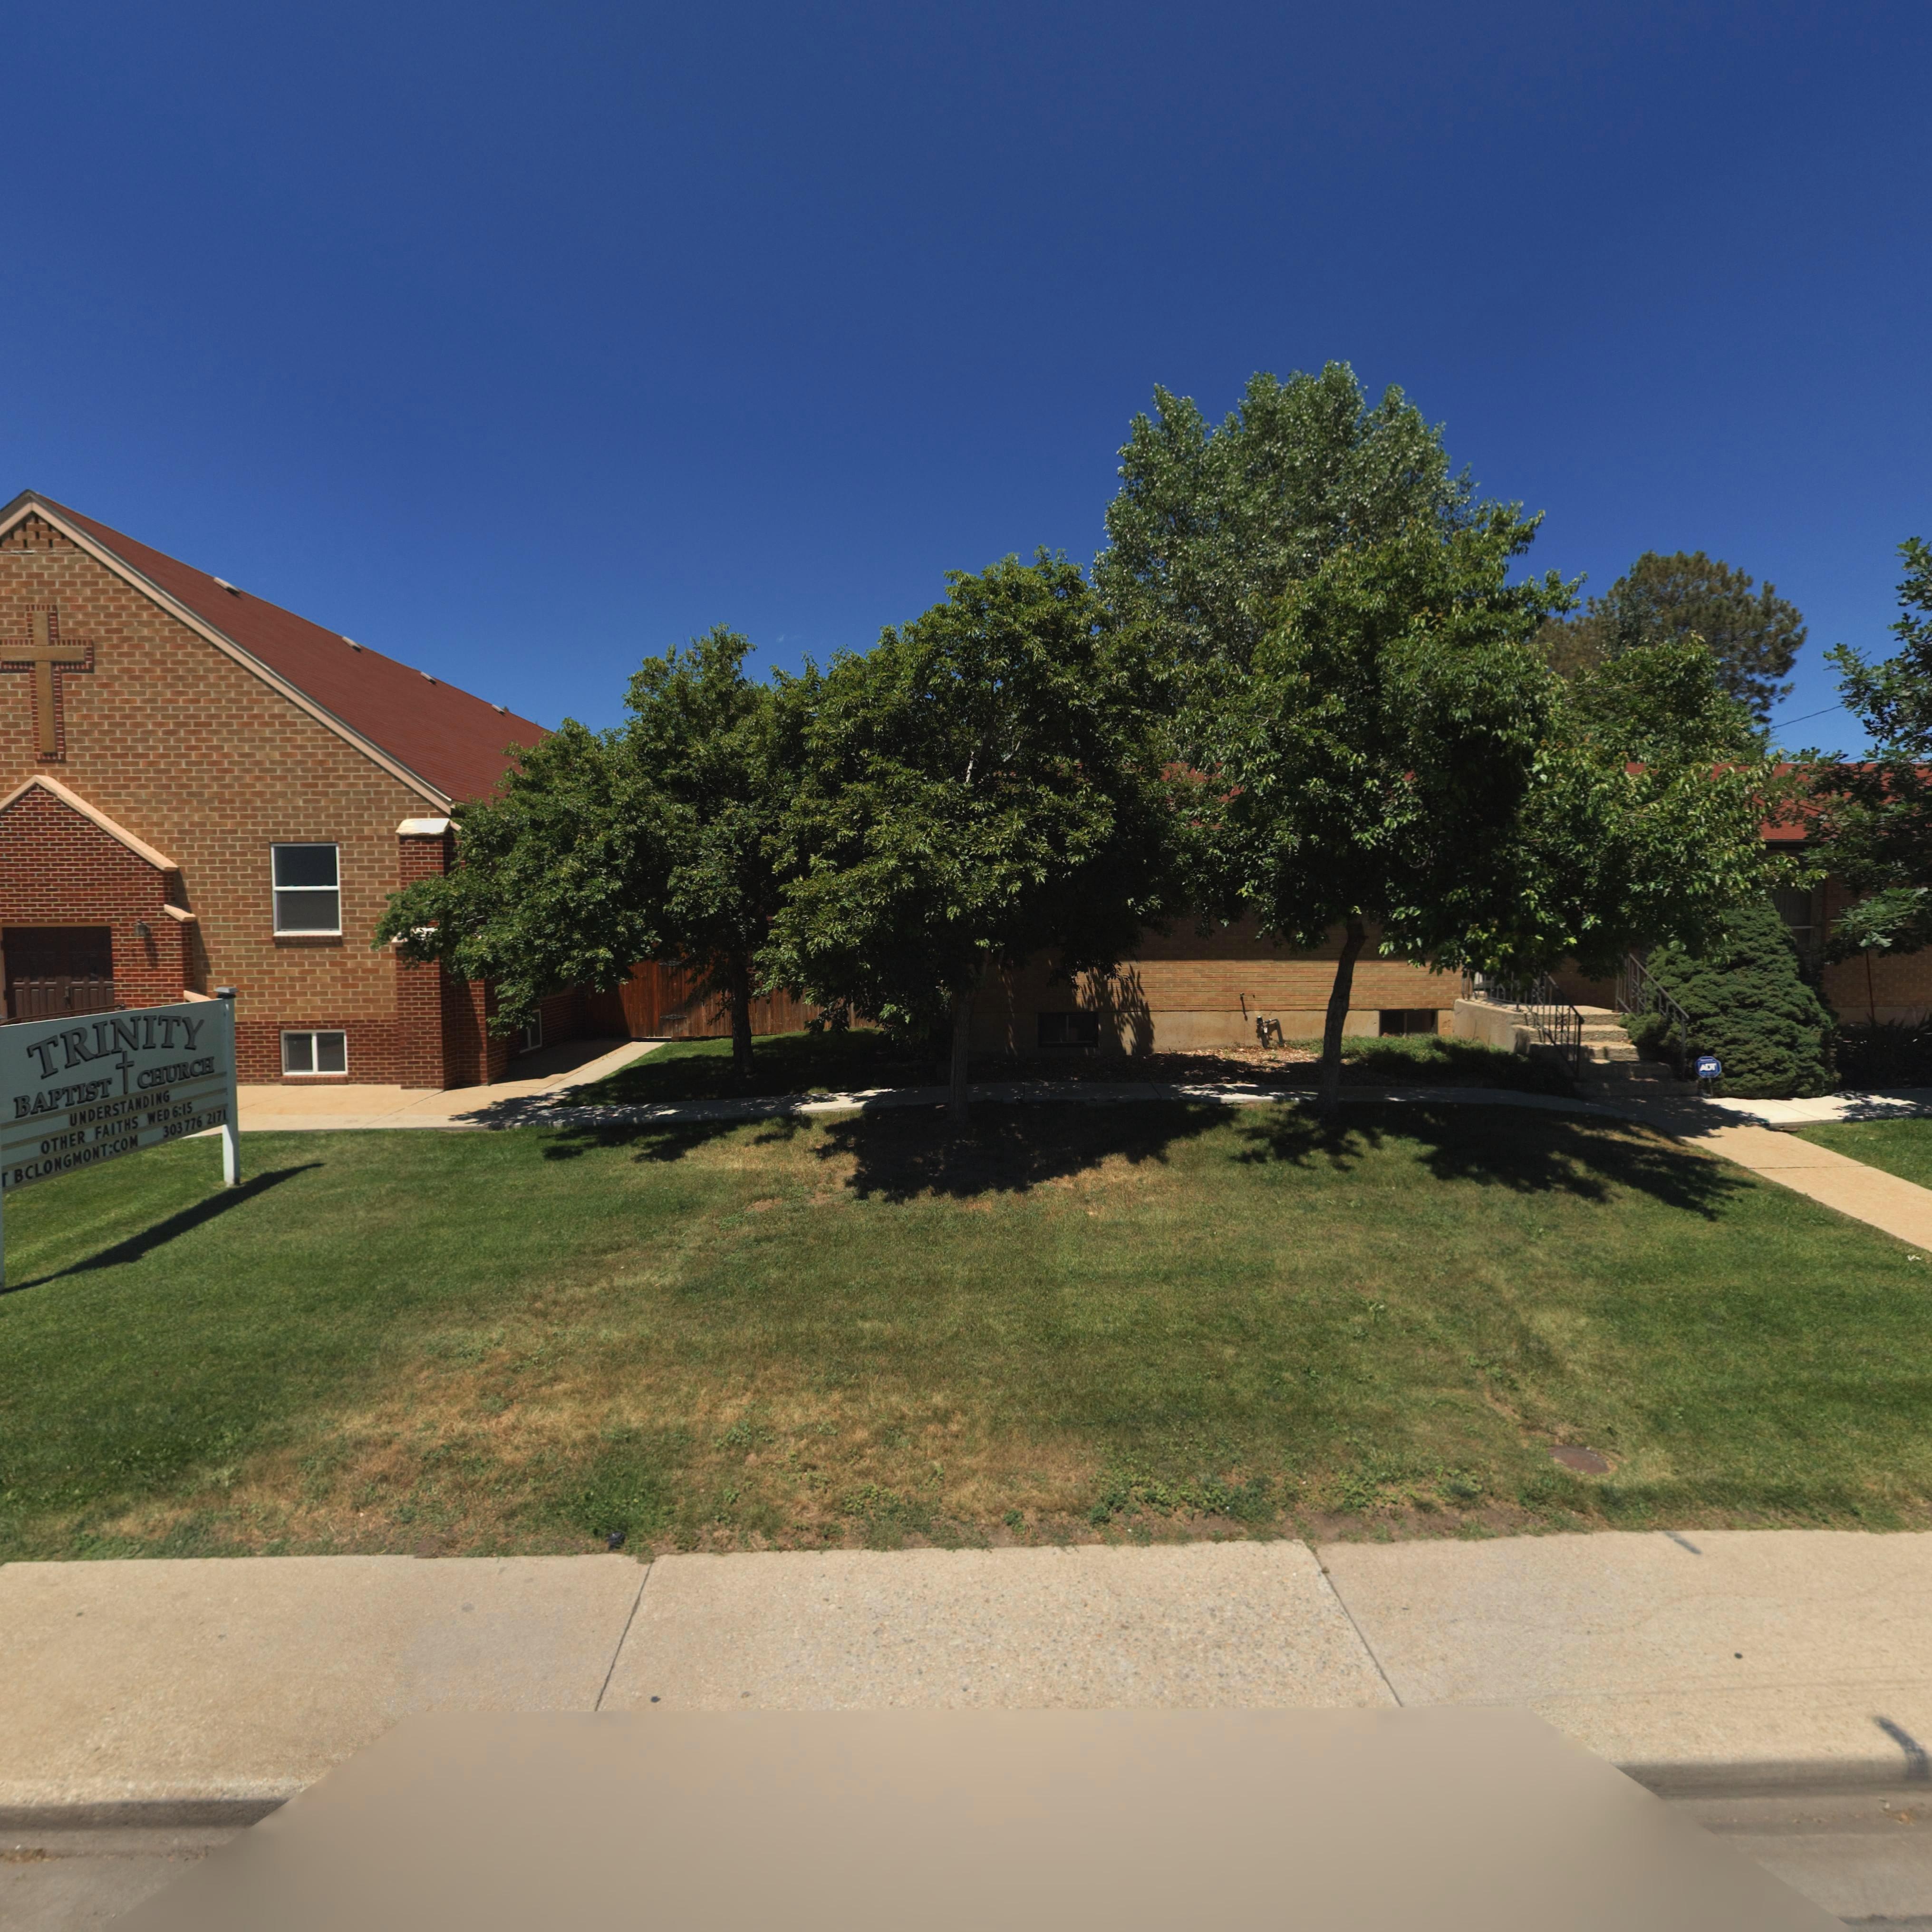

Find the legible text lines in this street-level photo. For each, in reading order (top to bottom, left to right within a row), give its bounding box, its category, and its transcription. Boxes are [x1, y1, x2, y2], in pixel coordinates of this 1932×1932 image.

[27, 1014, 205, 1078] BusinessName: TRINITY
[15, 1055, 214, 1117] BusinessName: BAPTIST * CHURCH